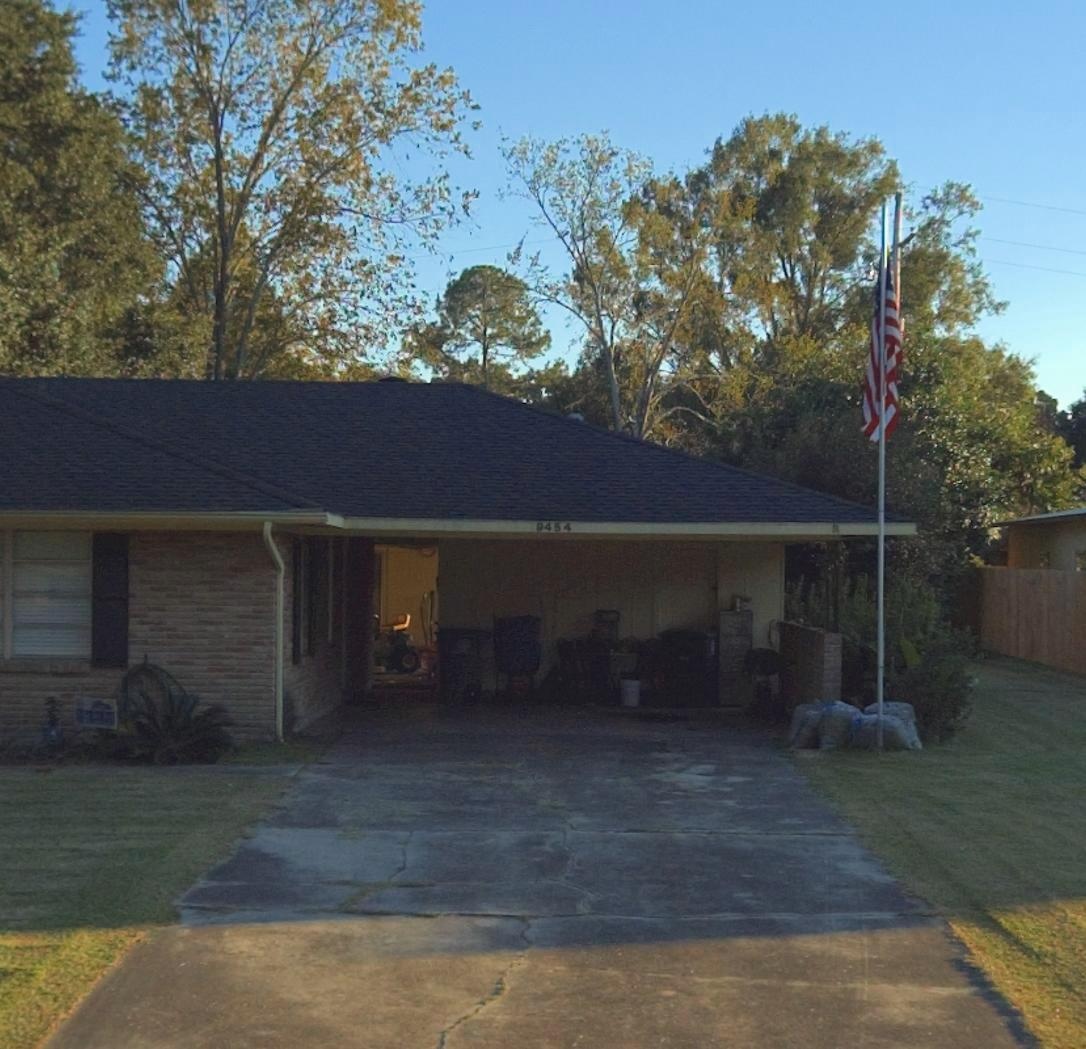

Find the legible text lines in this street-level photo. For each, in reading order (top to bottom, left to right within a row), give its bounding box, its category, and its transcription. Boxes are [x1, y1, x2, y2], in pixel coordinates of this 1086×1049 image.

[535, 520, 572, 532] StreetNumber: 9454